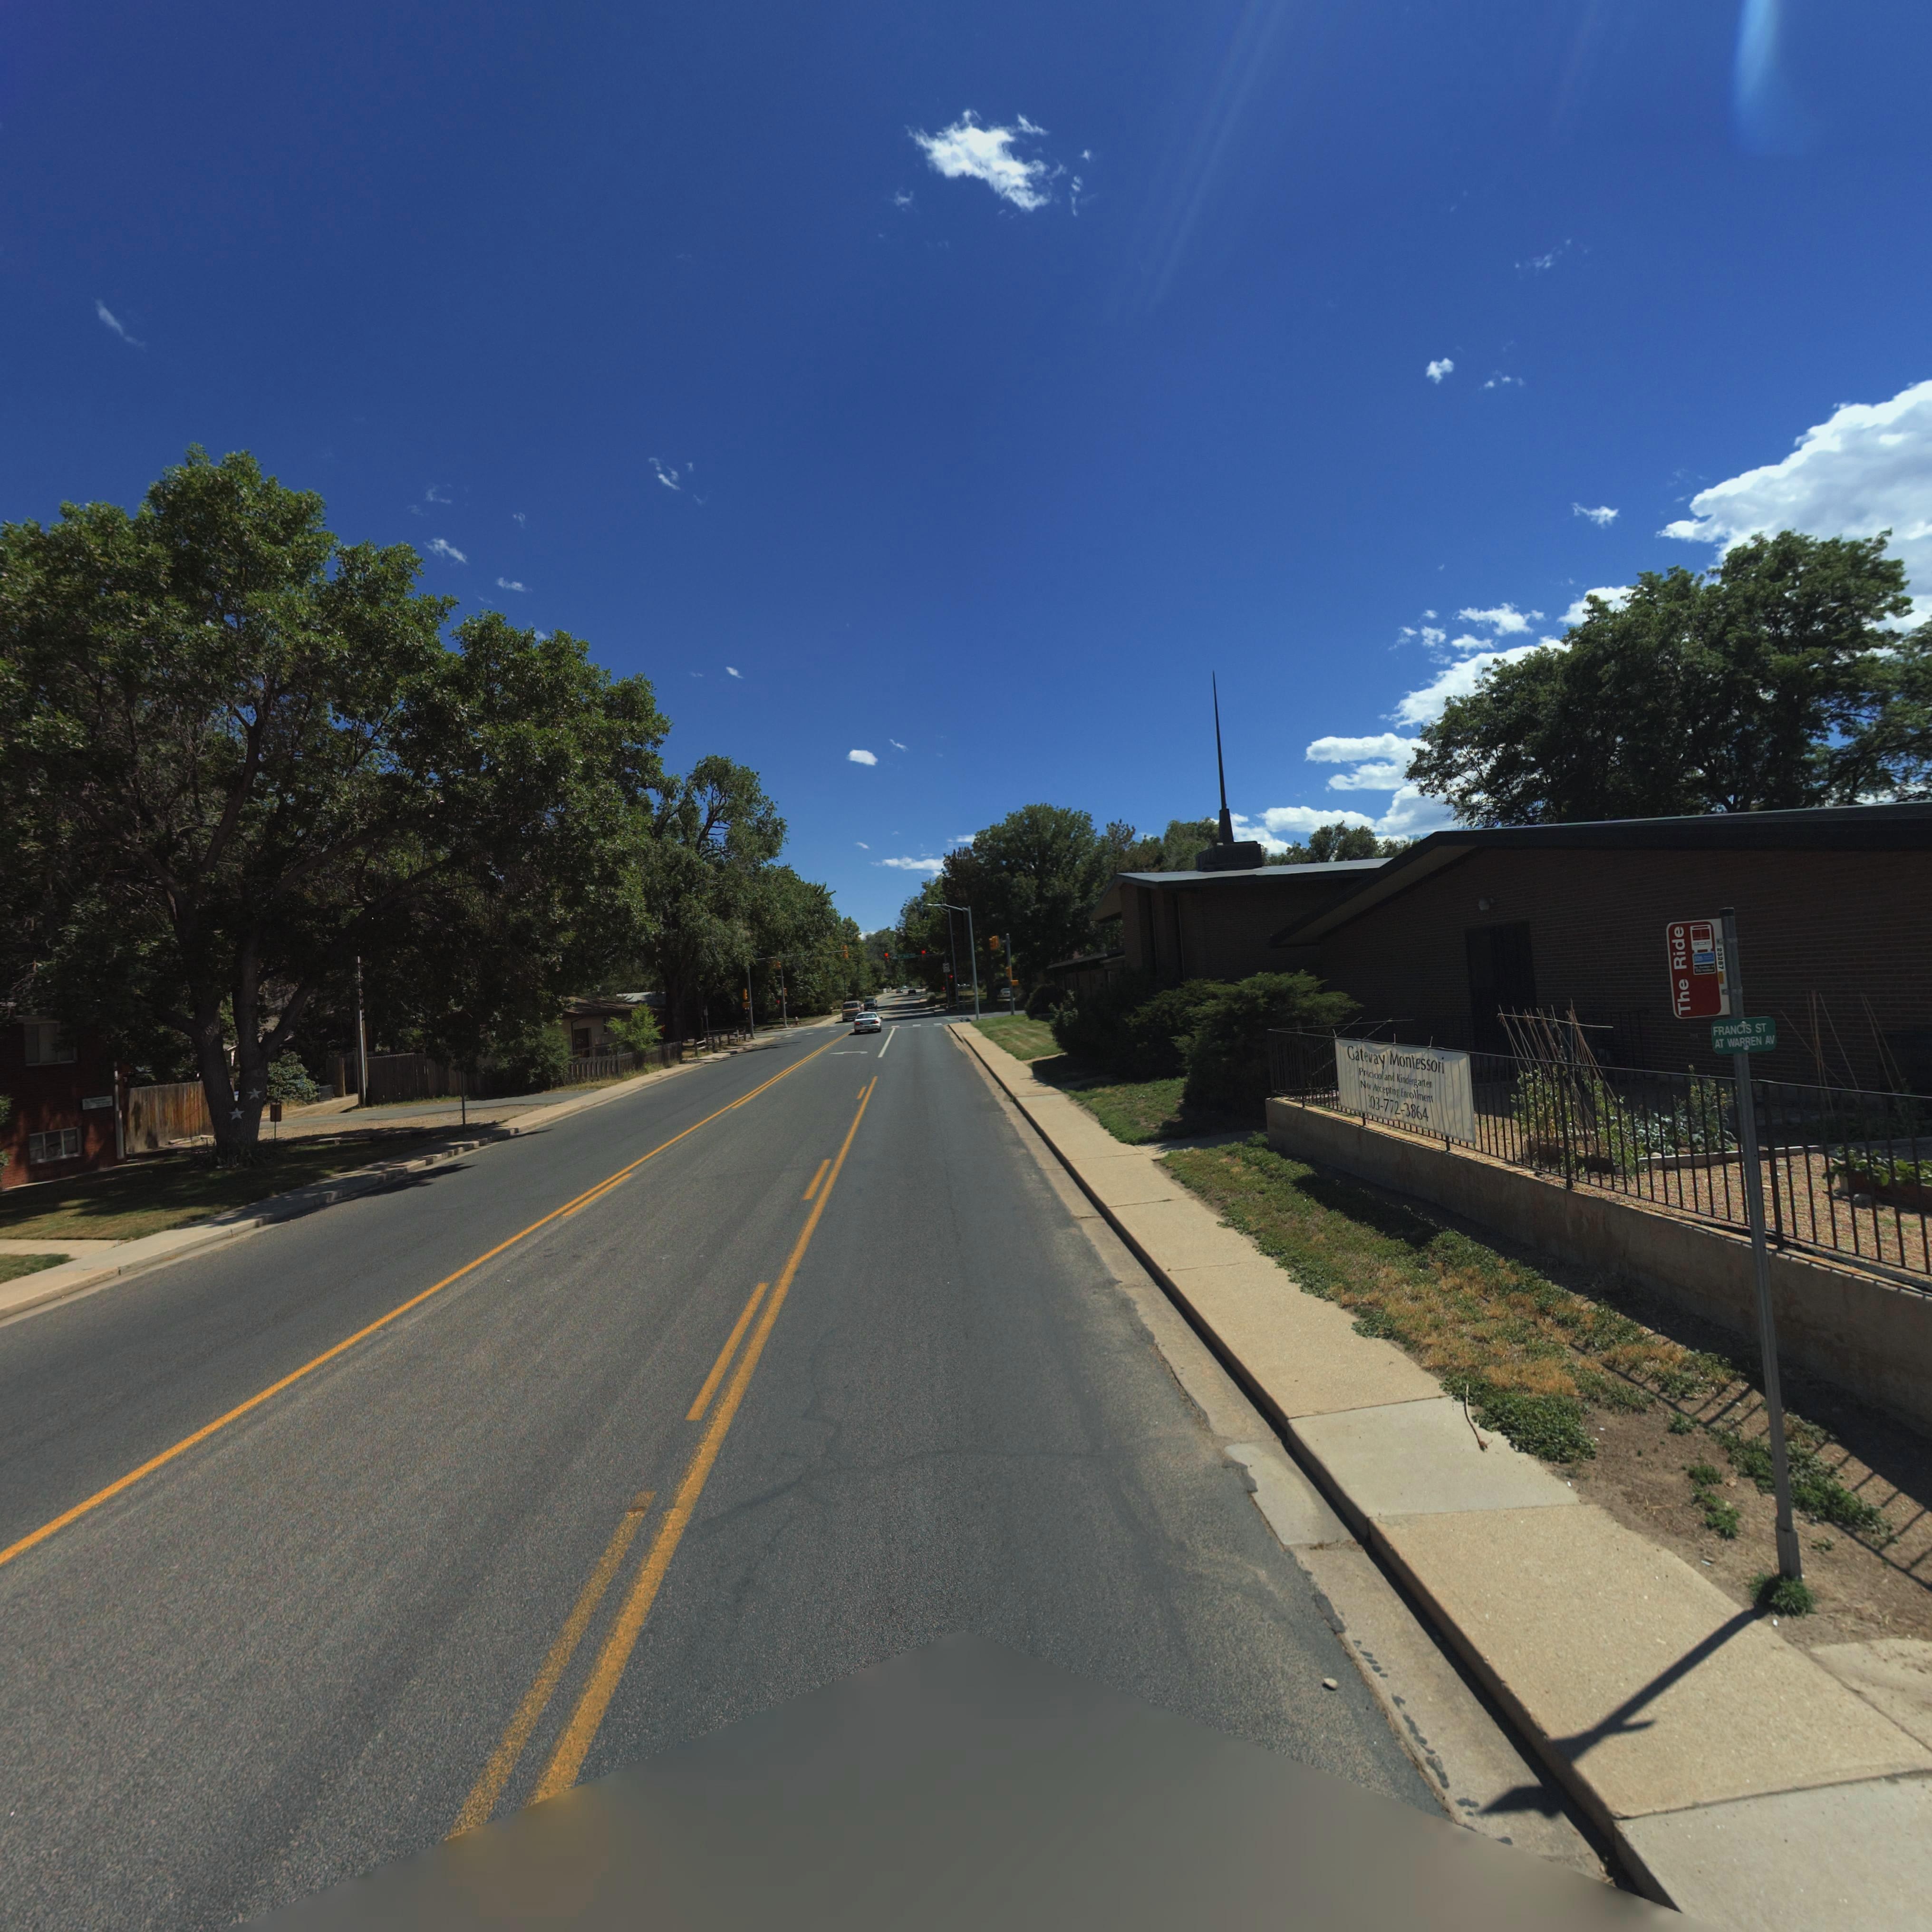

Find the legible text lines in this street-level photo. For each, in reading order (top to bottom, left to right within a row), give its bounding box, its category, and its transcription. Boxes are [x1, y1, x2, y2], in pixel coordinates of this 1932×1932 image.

[1712, 1023, 1767, 1036] StreetName: FRANC*S ST
[1726, 1034, 1775, 1048] StreetName: WARREN AV
[1347, 1045, 1444, 1074] BusinessName: Gate*ay Montessori
[1358, 1067, 1433, 1089] BusinessName: Pr**c*ool an* Kinde*ga*te*